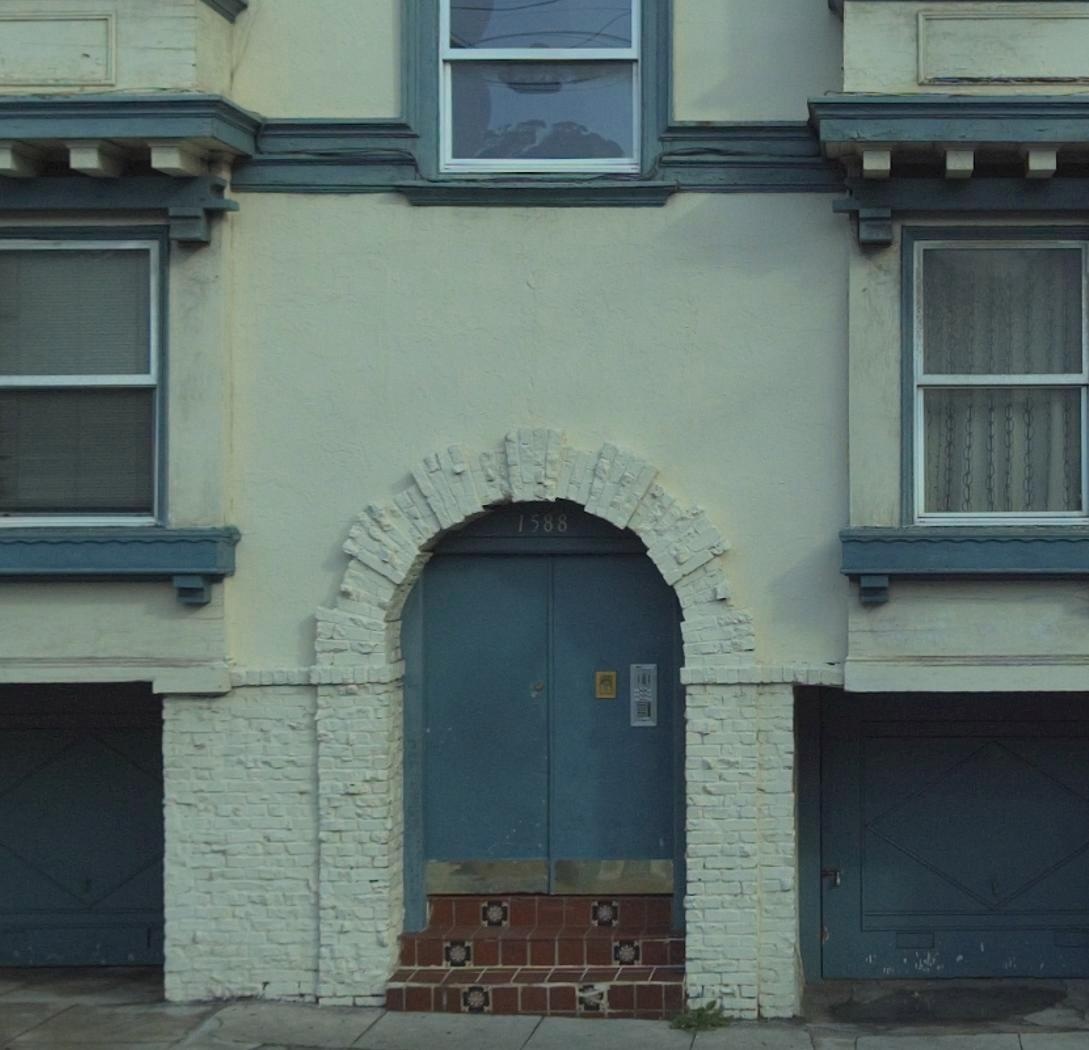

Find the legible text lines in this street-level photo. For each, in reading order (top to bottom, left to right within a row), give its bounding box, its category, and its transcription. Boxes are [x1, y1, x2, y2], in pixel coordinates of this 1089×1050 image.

[515, 511, 569, 536] StreetNumber: 1588